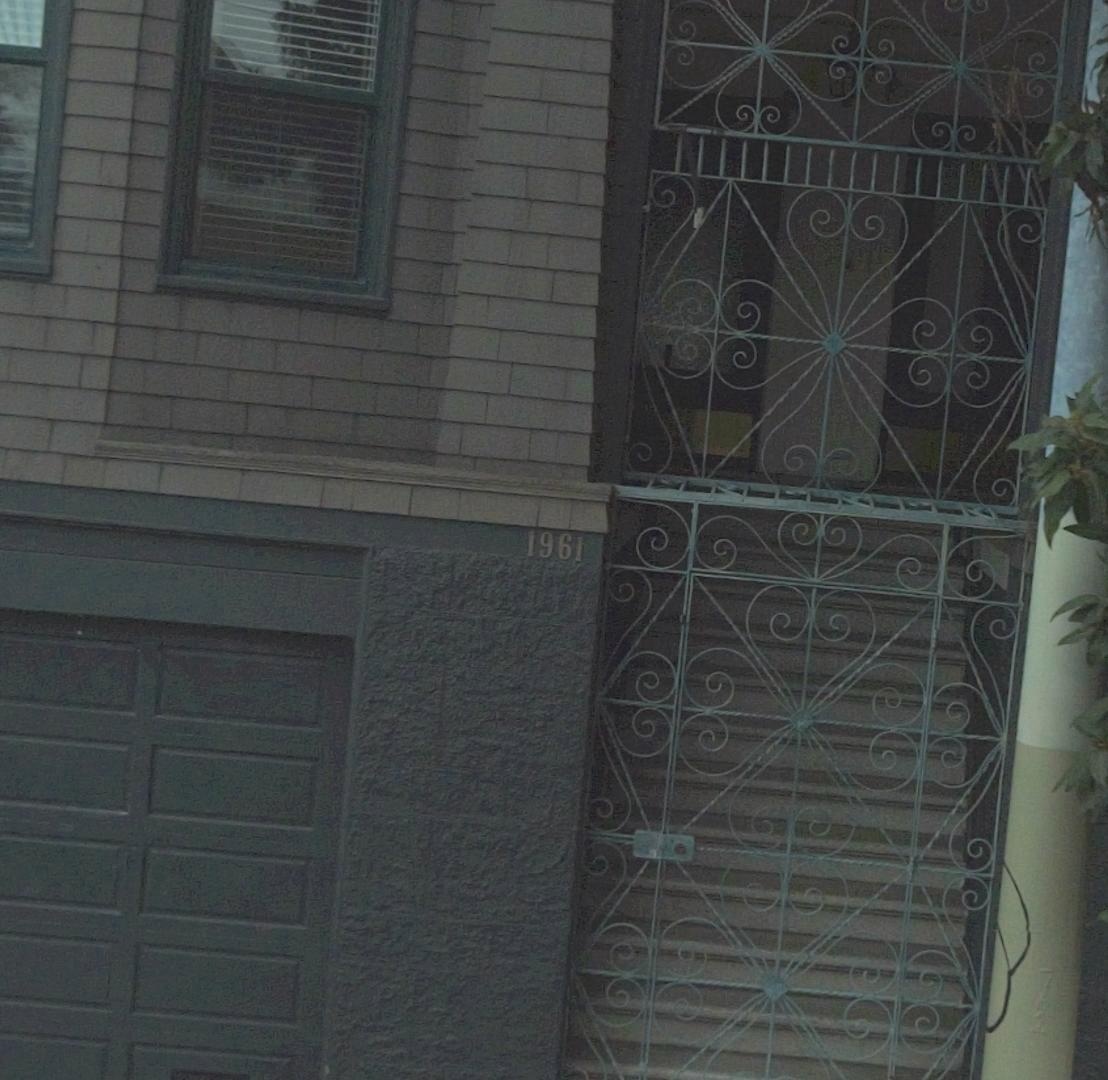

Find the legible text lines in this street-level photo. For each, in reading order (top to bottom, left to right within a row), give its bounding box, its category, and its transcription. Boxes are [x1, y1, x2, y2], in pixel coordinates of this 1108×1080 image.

[521, 527, 588, 566] StreetNumber: 1961